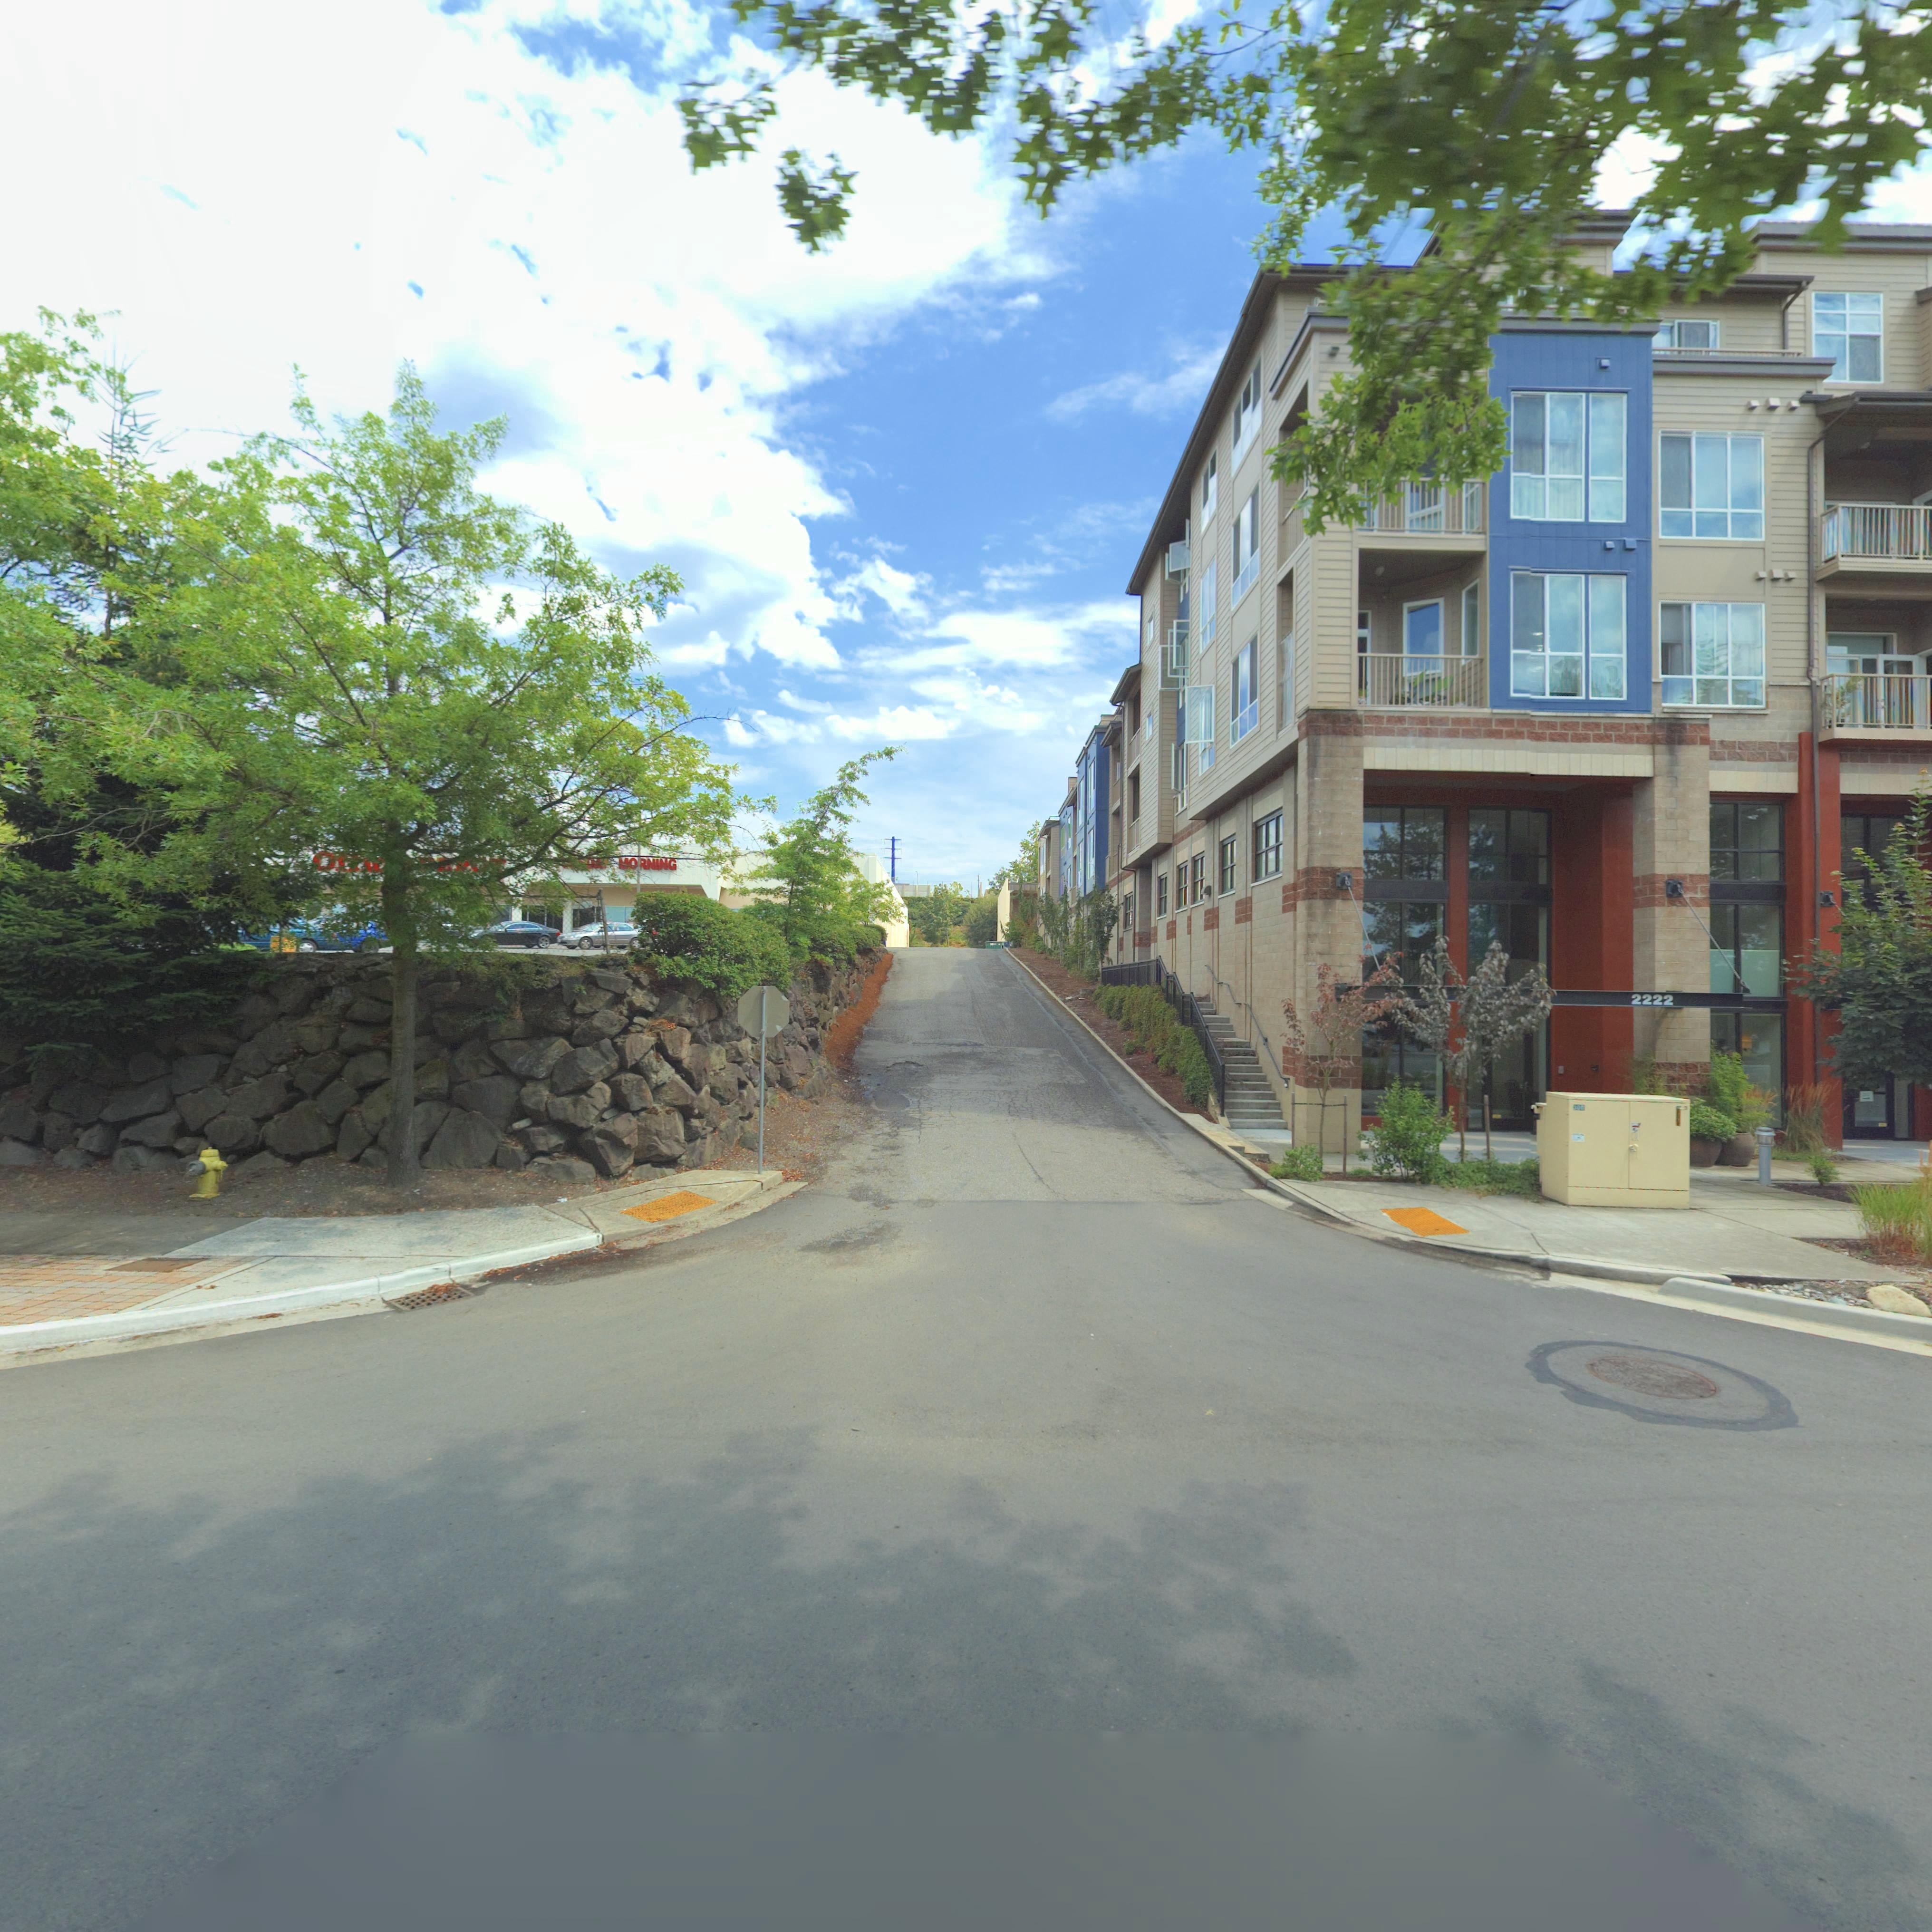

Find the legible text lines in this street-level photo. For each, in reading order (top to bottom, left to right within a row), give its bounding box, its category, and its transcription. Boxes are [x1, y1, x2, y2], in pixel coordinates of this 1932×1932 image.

[618, 857, 676, 869] BusinessName: MO*NING
[1632, 994, 1673, 1005] StreetNumber: 2222